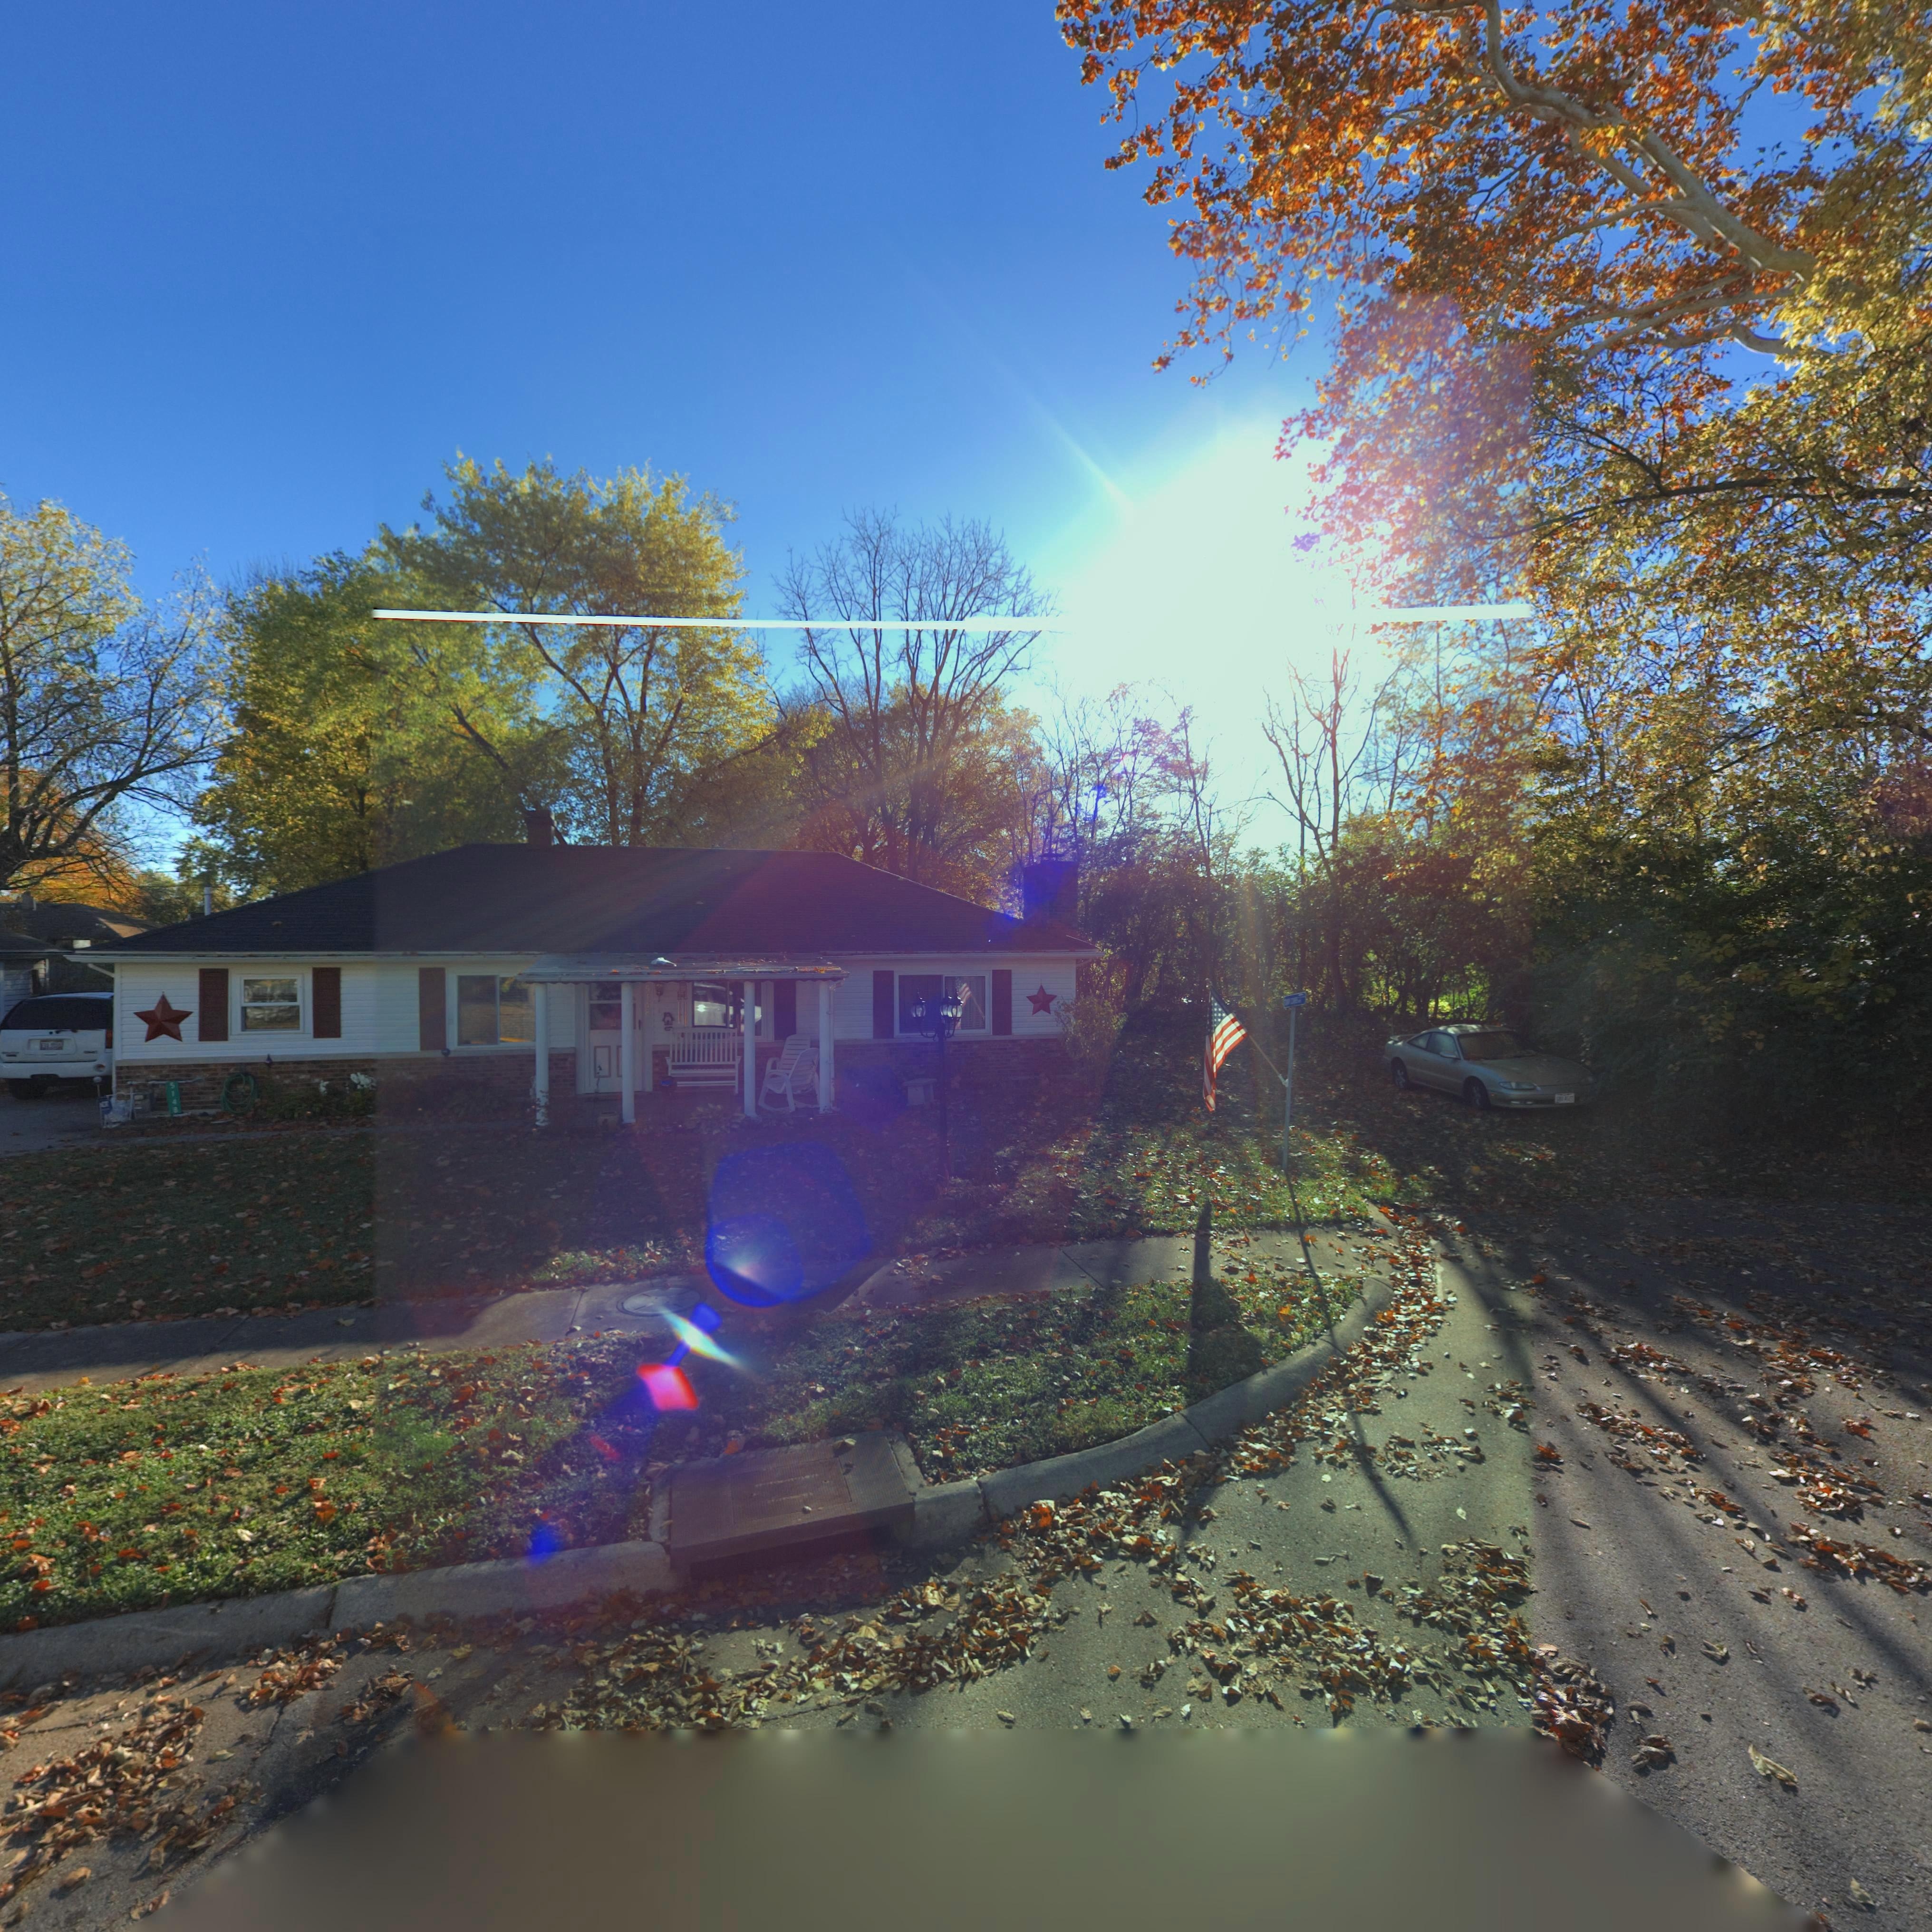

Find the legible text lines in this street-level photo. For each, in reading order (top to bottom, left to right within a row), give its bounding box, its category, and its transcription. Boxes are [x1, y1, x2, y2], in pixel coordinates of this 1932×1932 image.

[644, 984, 650, 1017] StreetNumber: 5148
[169, 1082, 179, 1114] StreetNumber: 5148